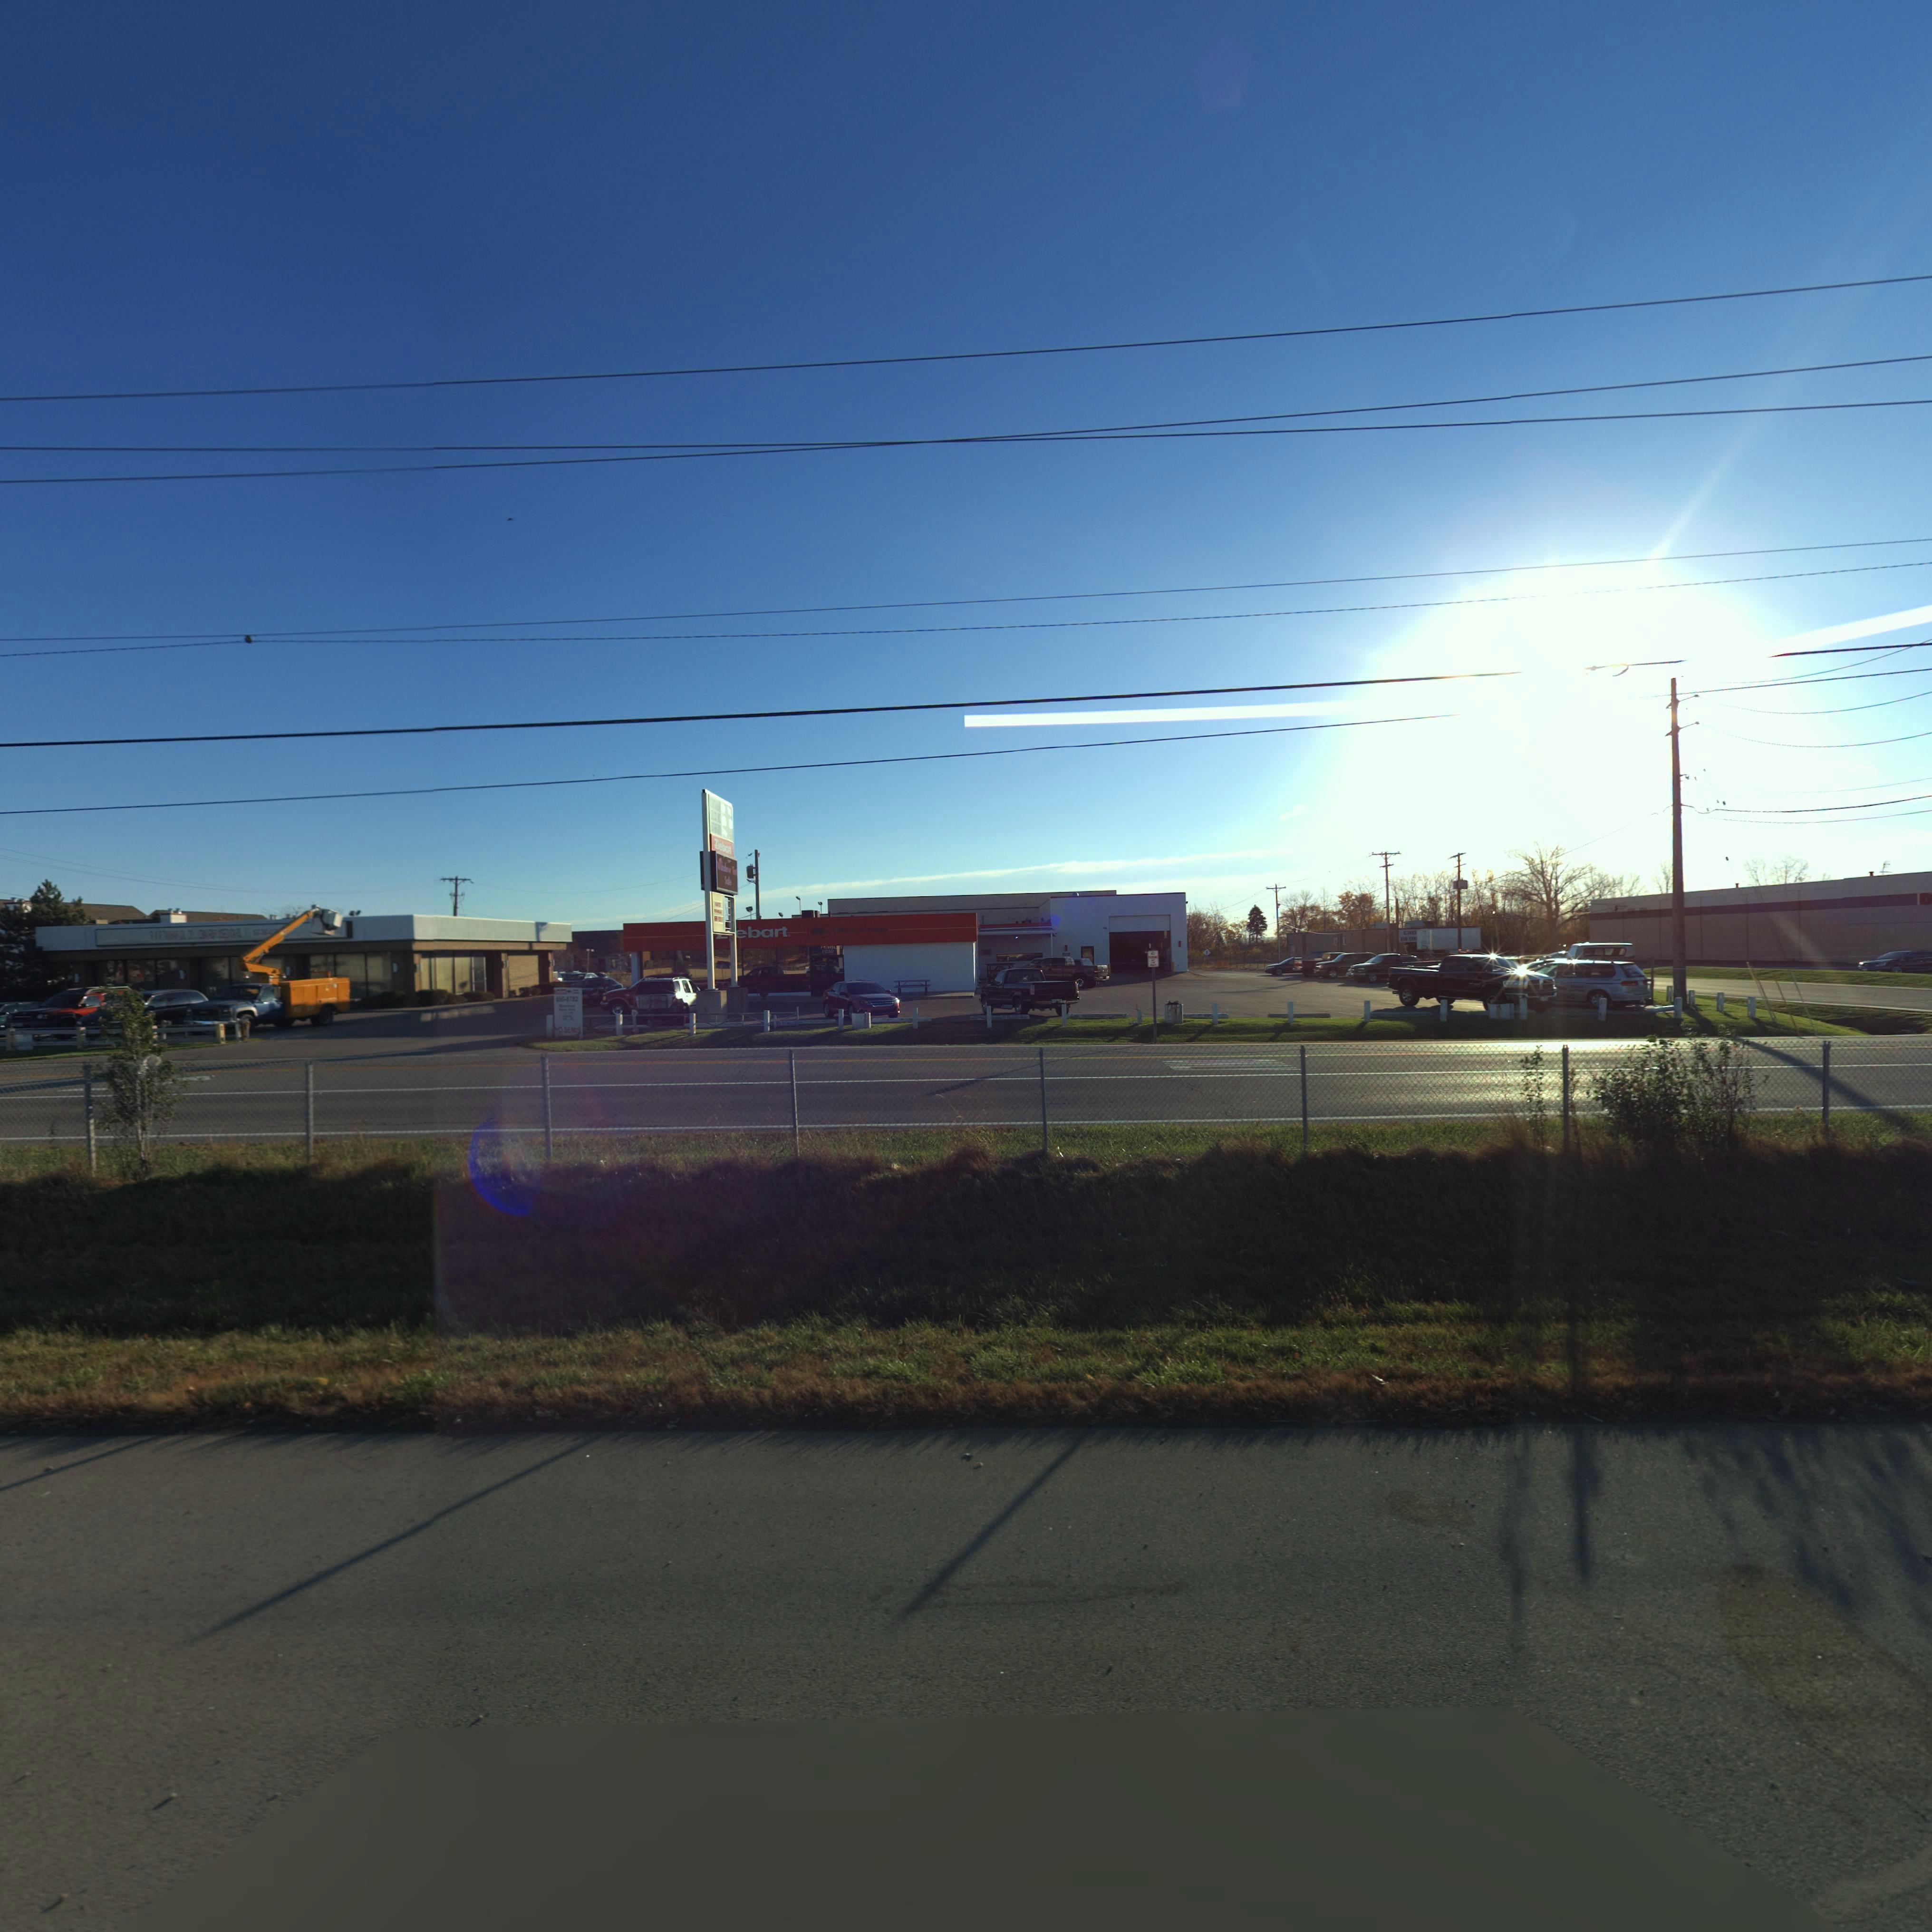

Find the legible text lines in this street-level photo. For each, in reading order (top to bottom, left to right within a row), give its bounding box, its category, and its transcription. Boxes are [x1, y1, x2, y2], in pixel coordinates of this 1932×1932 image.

[710, 834, 734, 859] BusinessName: Z******
[734, 925, 791, 941] BusinessName: ebart
[821, 948, 834, 955] StreetNumber: 7030
[554, 994, 580, 1004] None: ***-****
[553, 1024, 584, 1035] None: NO SEMIS